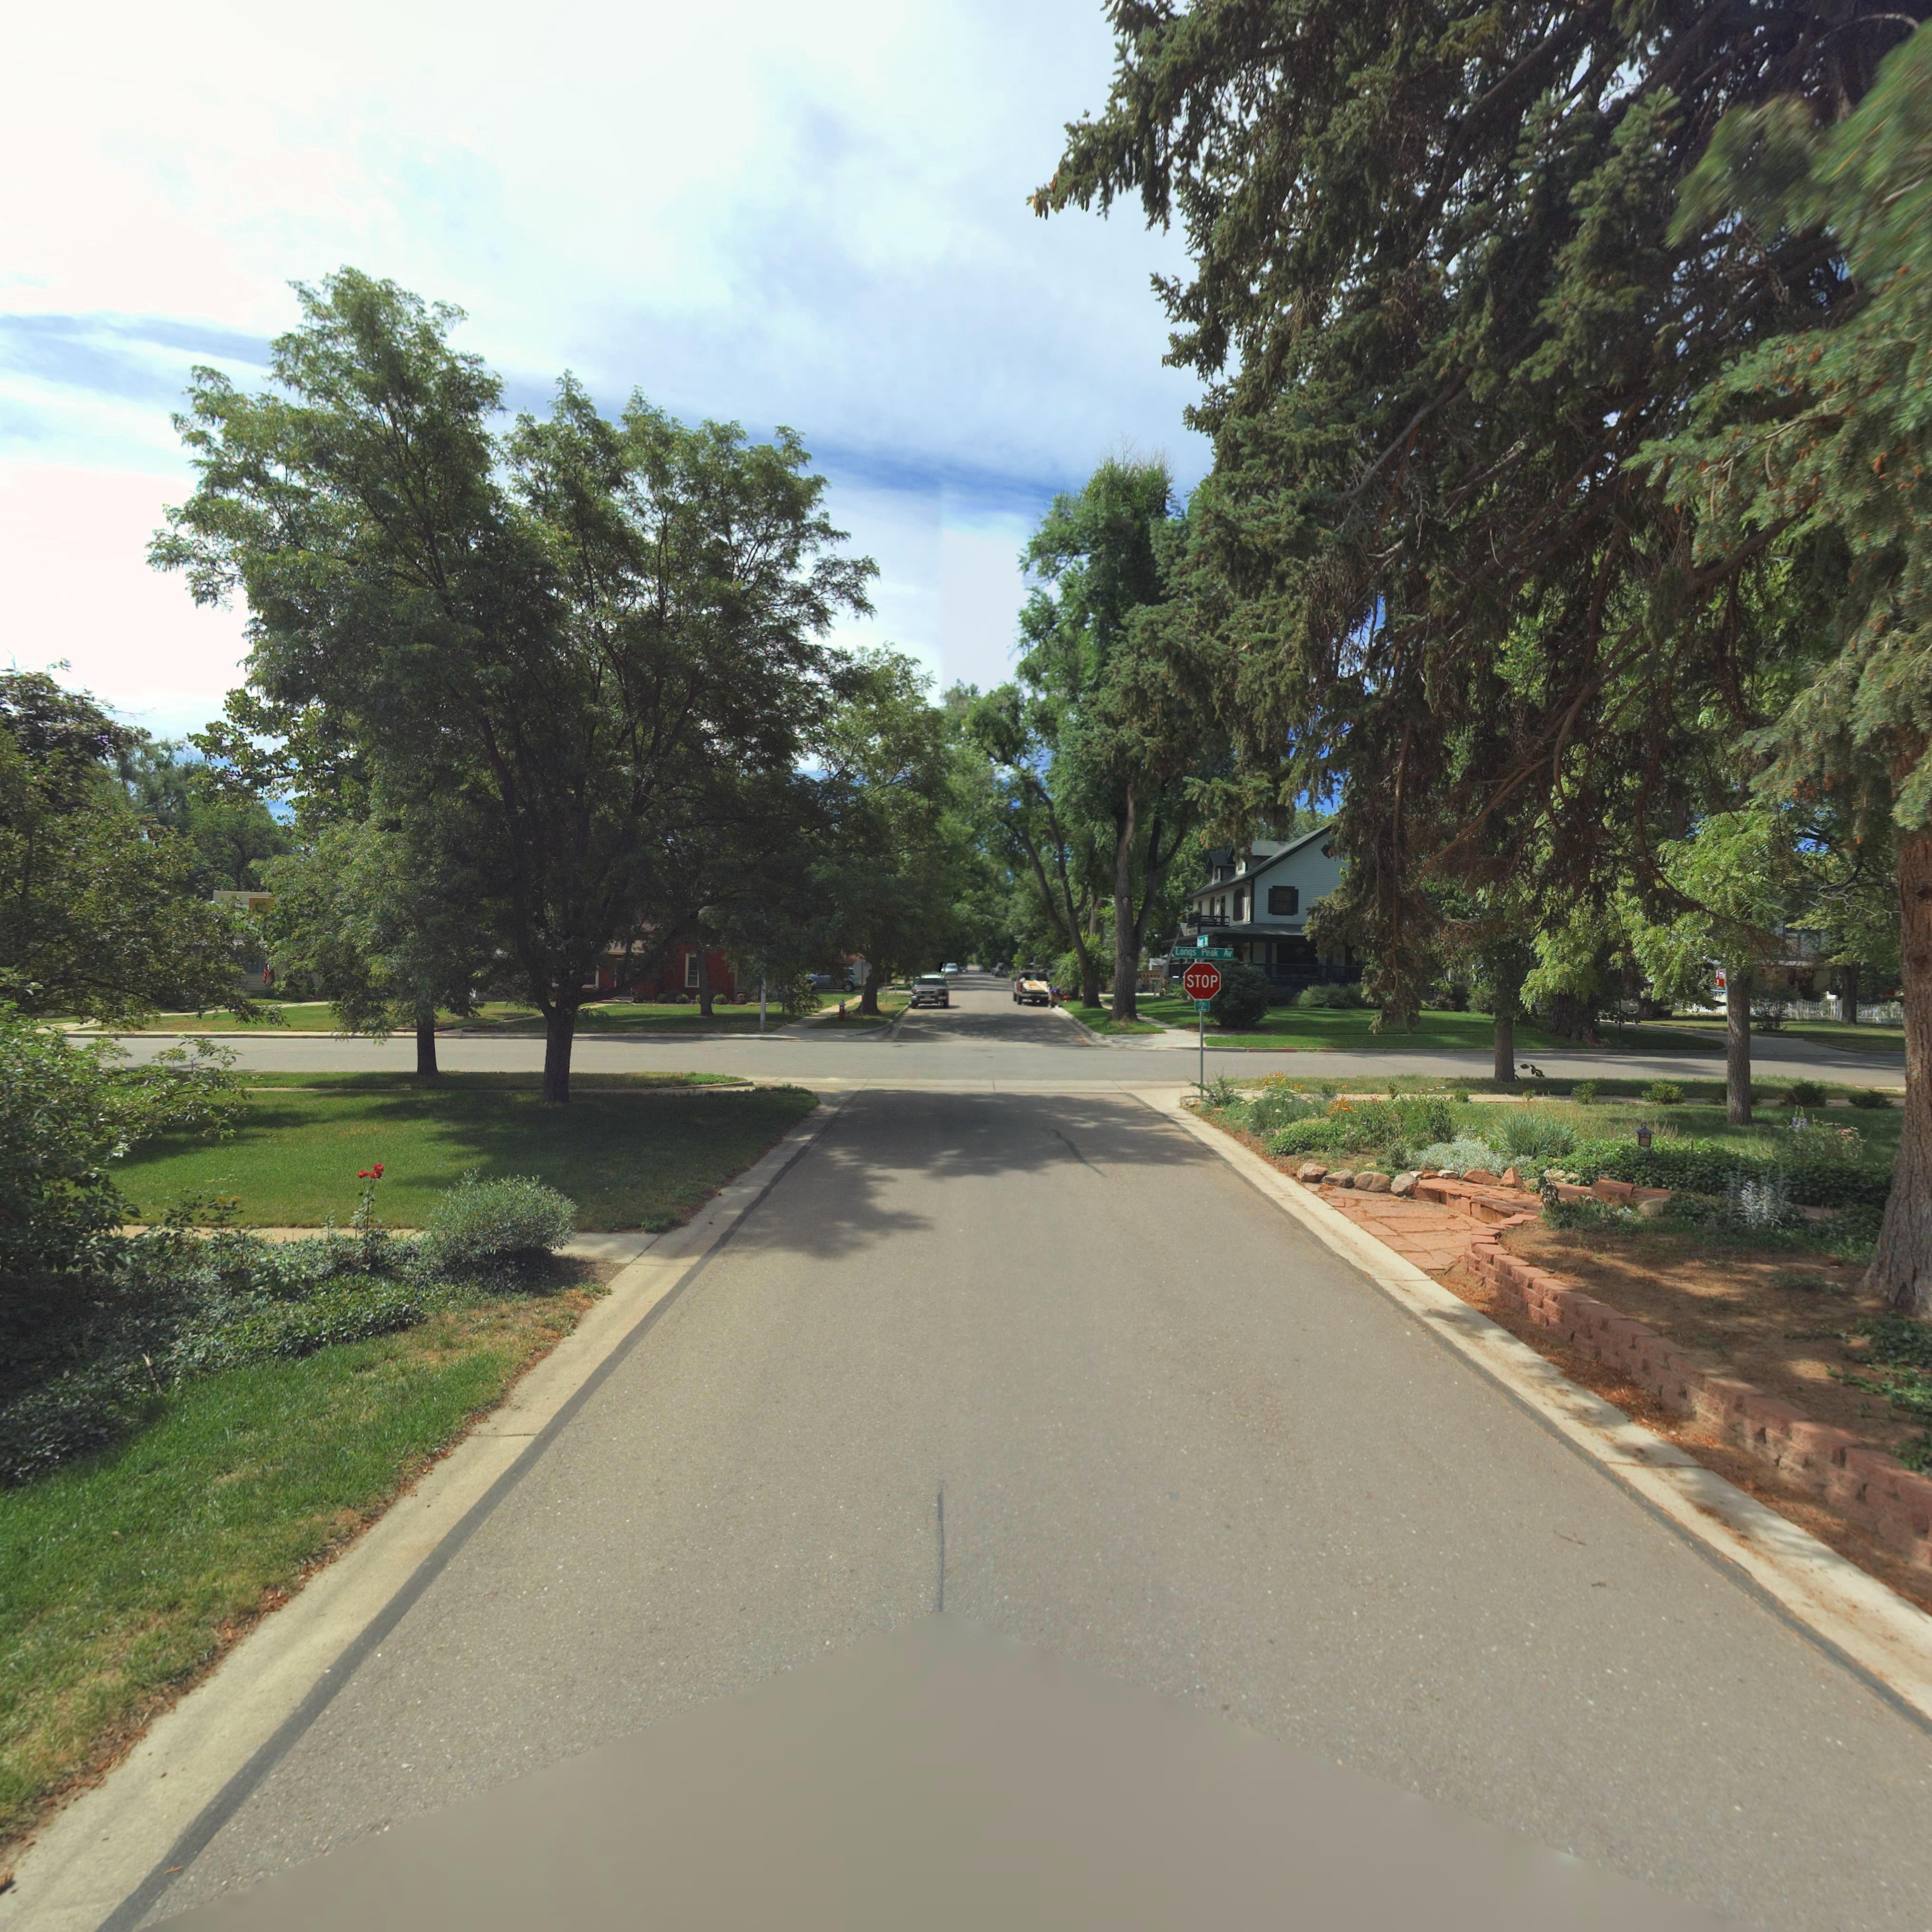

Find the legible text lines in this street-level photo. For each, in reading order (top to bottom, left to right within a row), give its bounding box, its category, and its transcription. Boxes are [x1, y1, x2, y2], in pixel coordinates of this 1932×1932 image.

[1197, 936, 1208, 947] StreetName: G*a*t S*
[1175, 947, 1233, 958] StreetName: Longs Peak Av